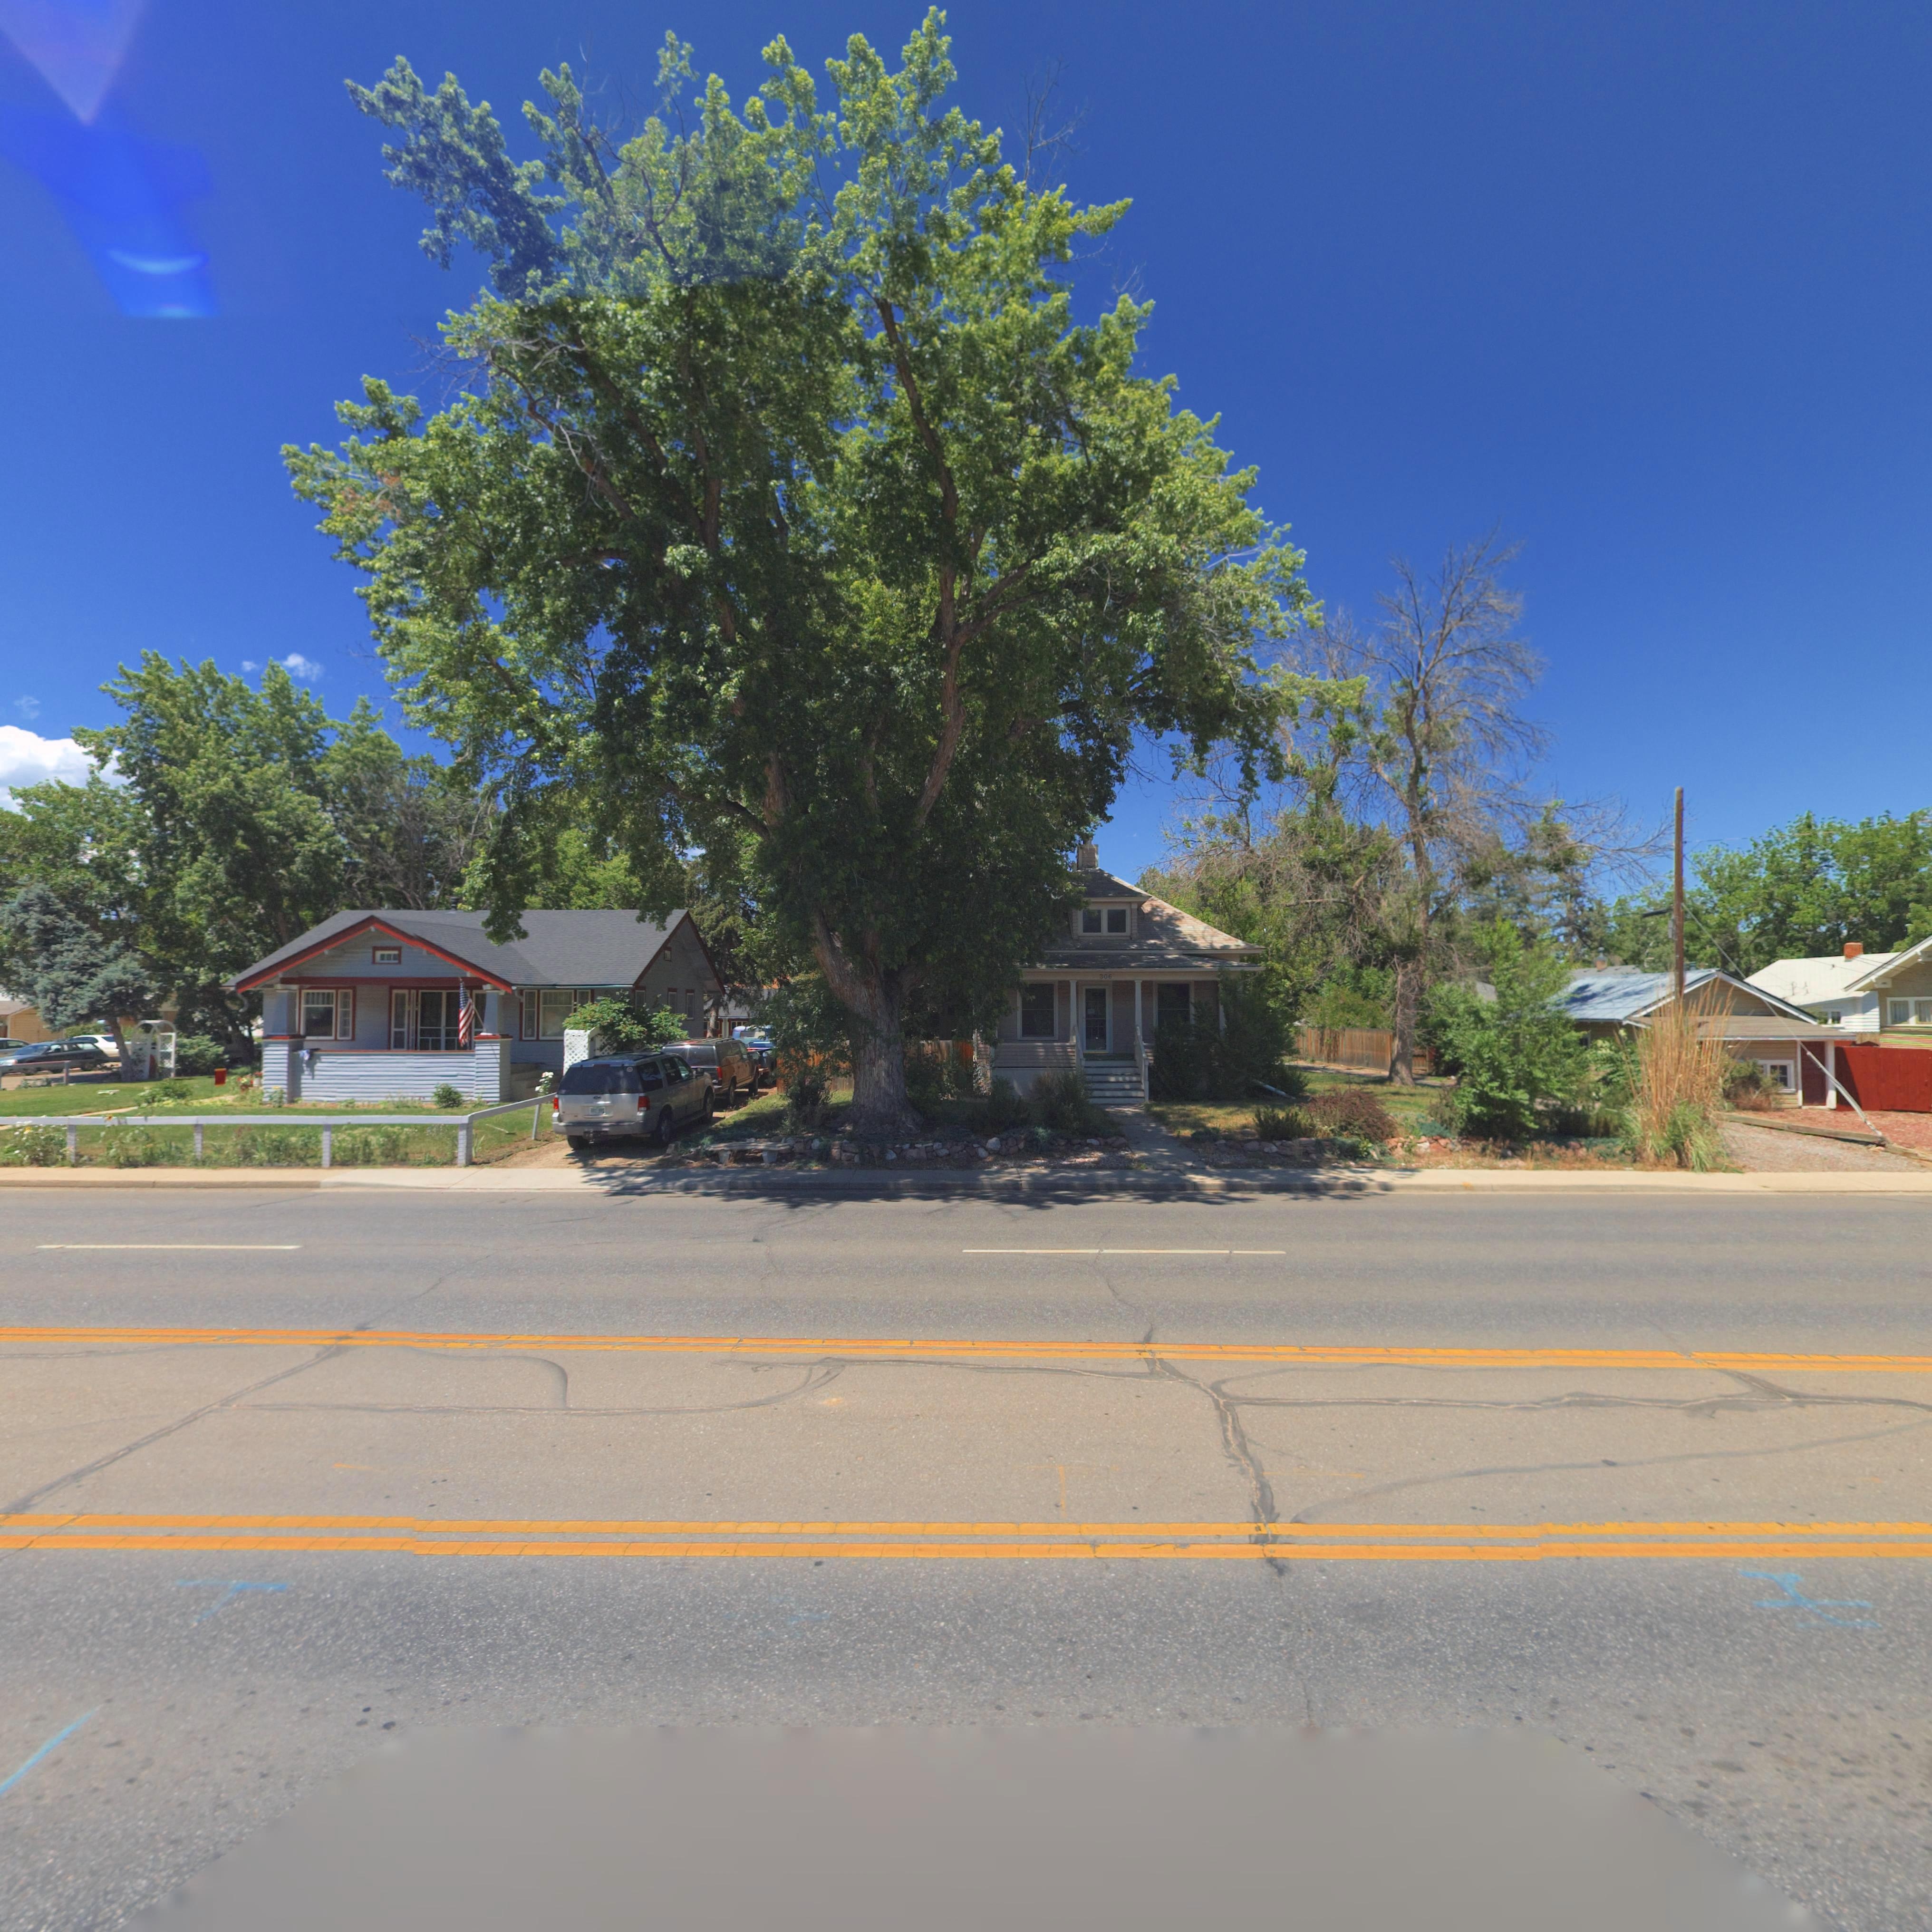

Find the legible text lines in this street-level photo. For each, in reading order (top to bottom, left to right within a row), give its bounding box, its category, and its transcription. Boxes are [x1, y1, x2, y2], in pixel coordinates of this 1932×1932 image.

[1099, 974, 1111, 979] StreetNumber: 306